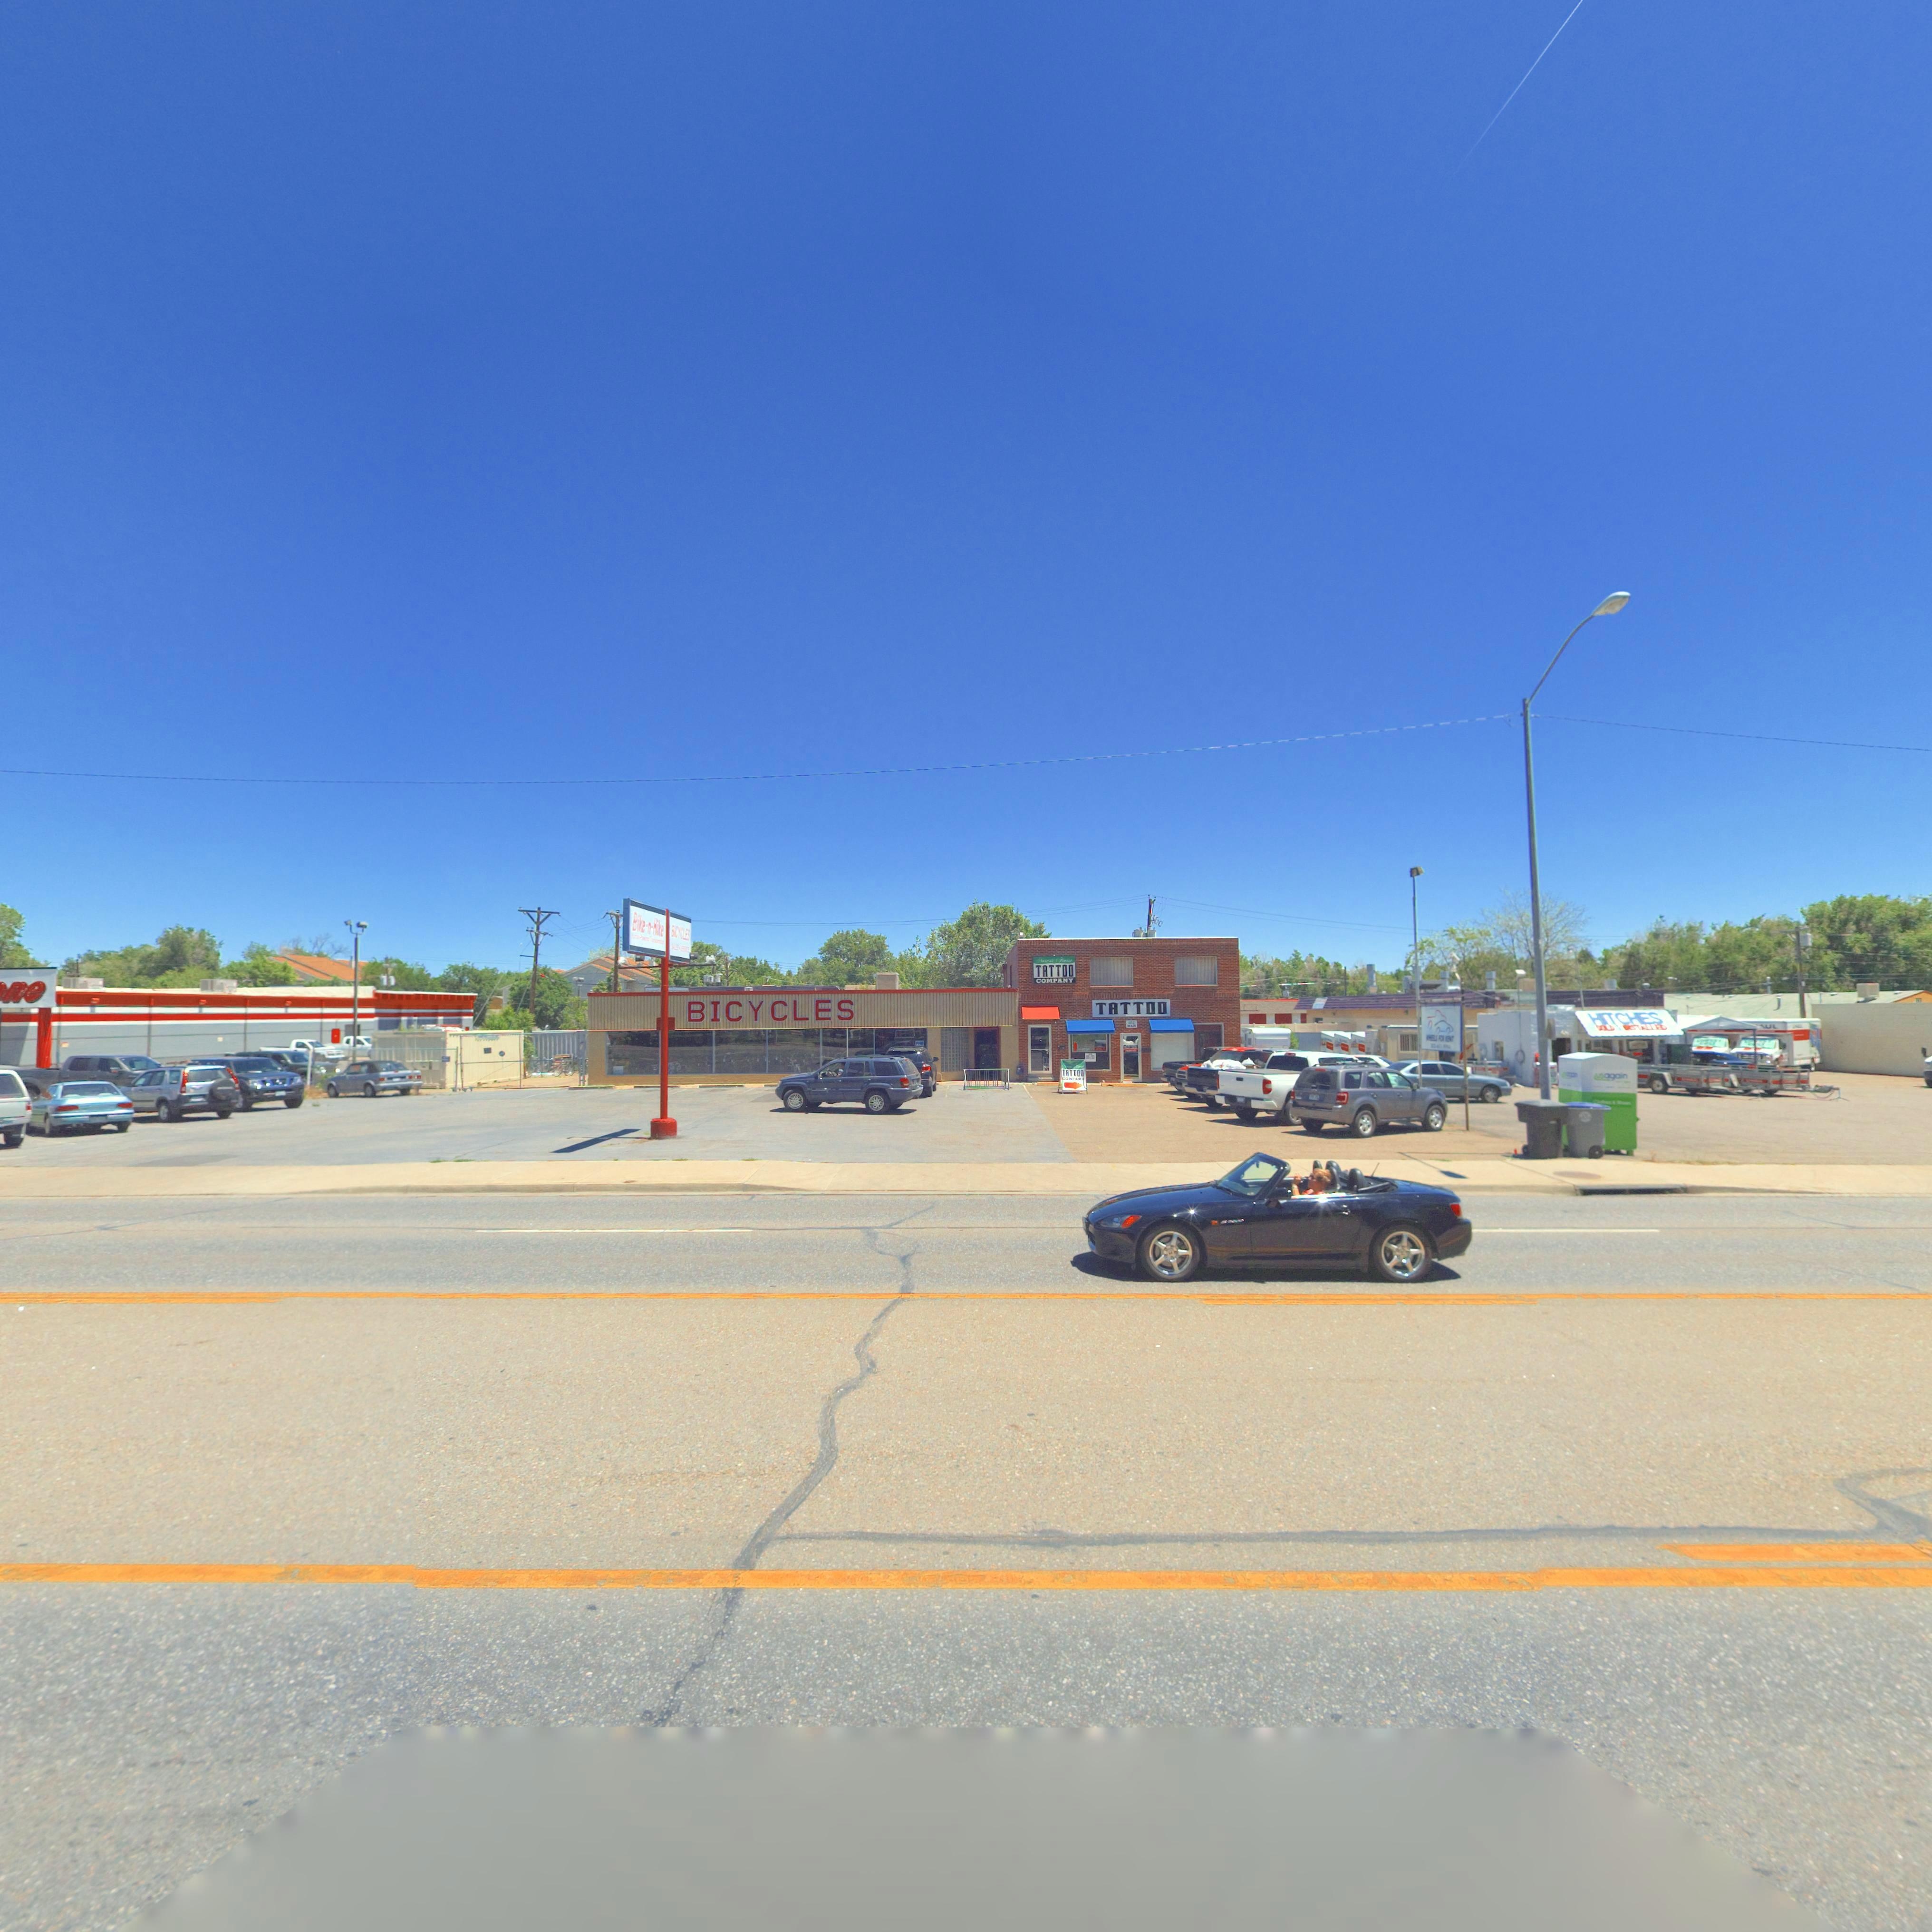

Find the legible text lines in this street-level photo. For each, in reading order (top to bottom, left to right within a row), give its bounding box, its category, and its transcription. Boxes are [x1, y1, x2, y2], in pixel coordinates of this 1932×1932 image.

[631, 911, 664, 937] BusinessName: Bike*n*Hike
[671, 924, 690, 941] BusinessName: BICYCLES
[1037, 956, 1072, 963] BusinessName: A*** R***
[1035, 964, 1073, 977] BusinessName: TATTOO
[1035, 978, 1074, 984] BusinessName: COMPANY
[1, 980, 46, 1004] BusinessName: ne
[687, 999, 854, 1022] BusinessName: BICYCLES
[1128, 1020, 1135, 1024] StreetNumber: 12**